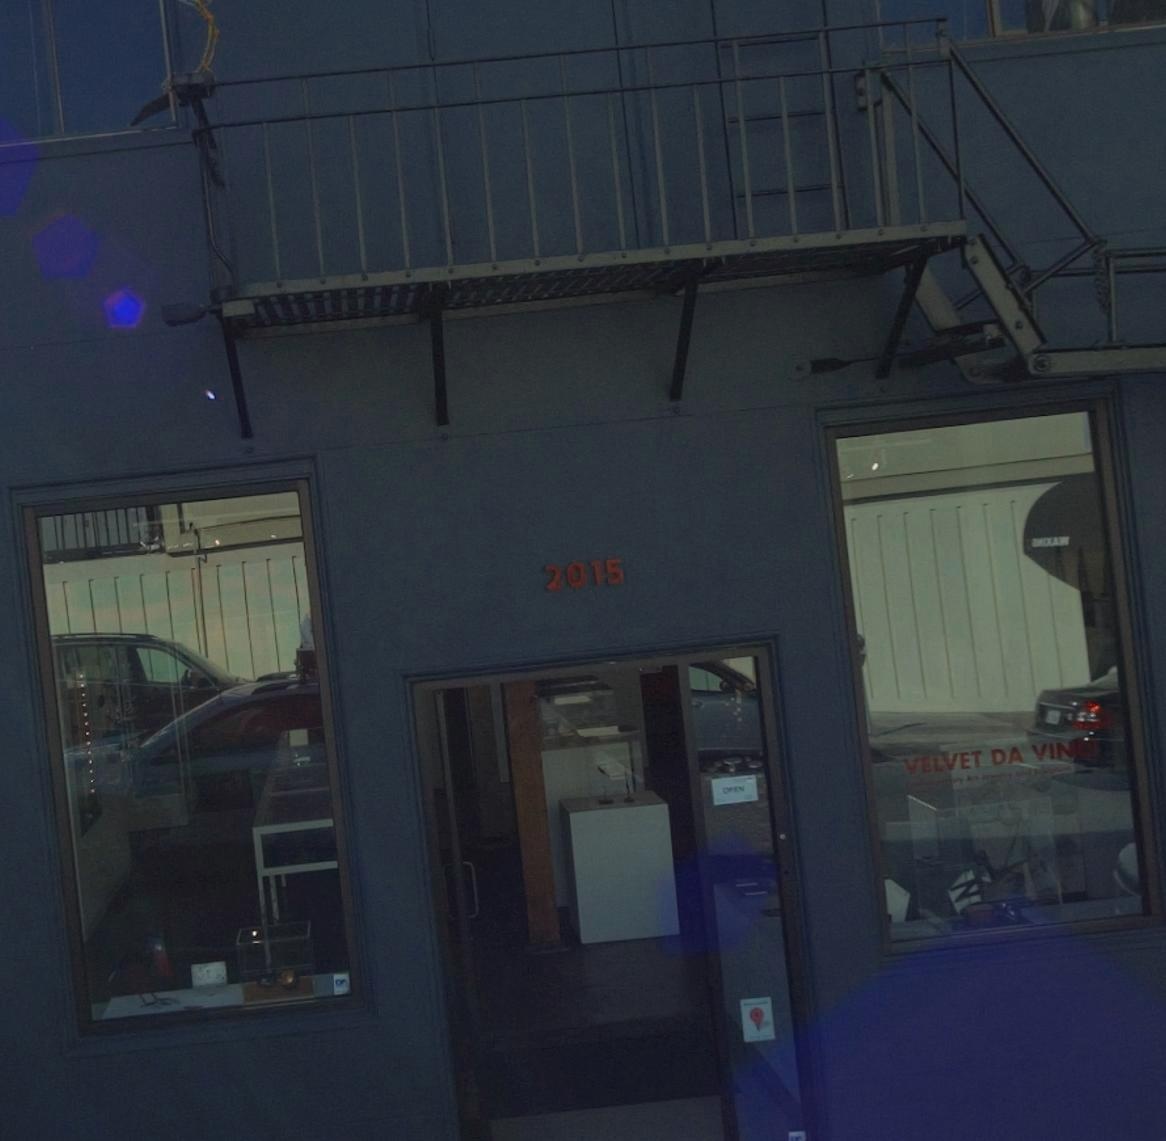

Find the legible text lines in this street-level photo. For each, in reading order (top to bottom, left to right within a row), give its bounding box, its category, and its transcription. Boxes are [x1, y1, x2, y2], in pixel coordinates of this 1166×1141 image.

[540, 556, 628, 594] StreetNumber: 2015
[899, 735, 1105, 778] BusinessName: VELVET DA VINCI
[721, 784, 746, 796] None: OPEN